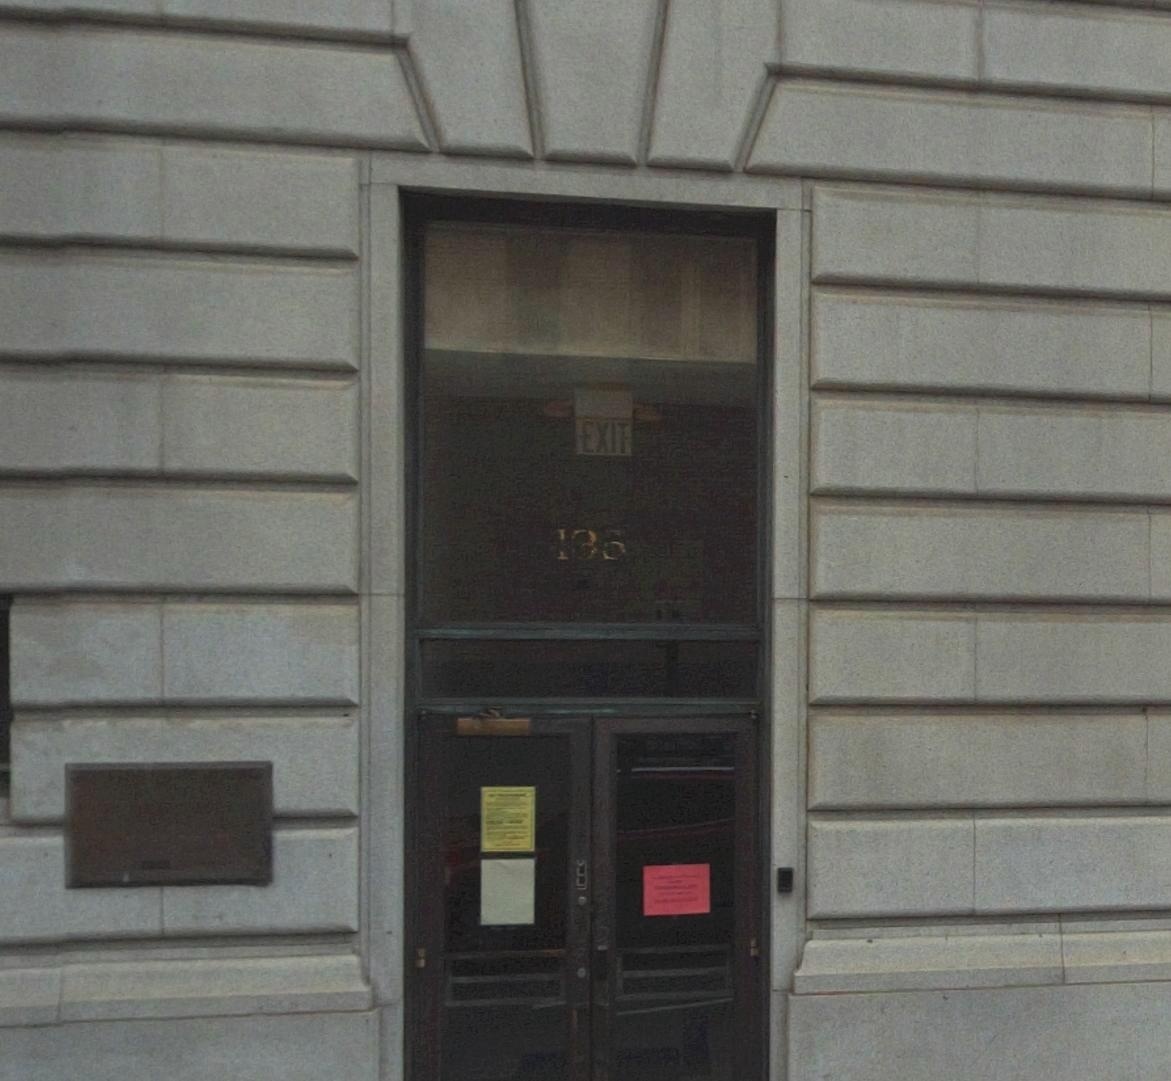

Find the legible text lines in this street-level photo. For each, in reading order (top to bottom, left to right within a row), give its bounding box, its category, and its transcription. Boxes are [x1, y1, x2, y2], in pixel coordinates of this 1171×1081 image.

[580, 419, 630, 456] None: EXIT
[554, 527, 627, 562] StreetNumber: 135
[575, 866, 586, 888] None: LL